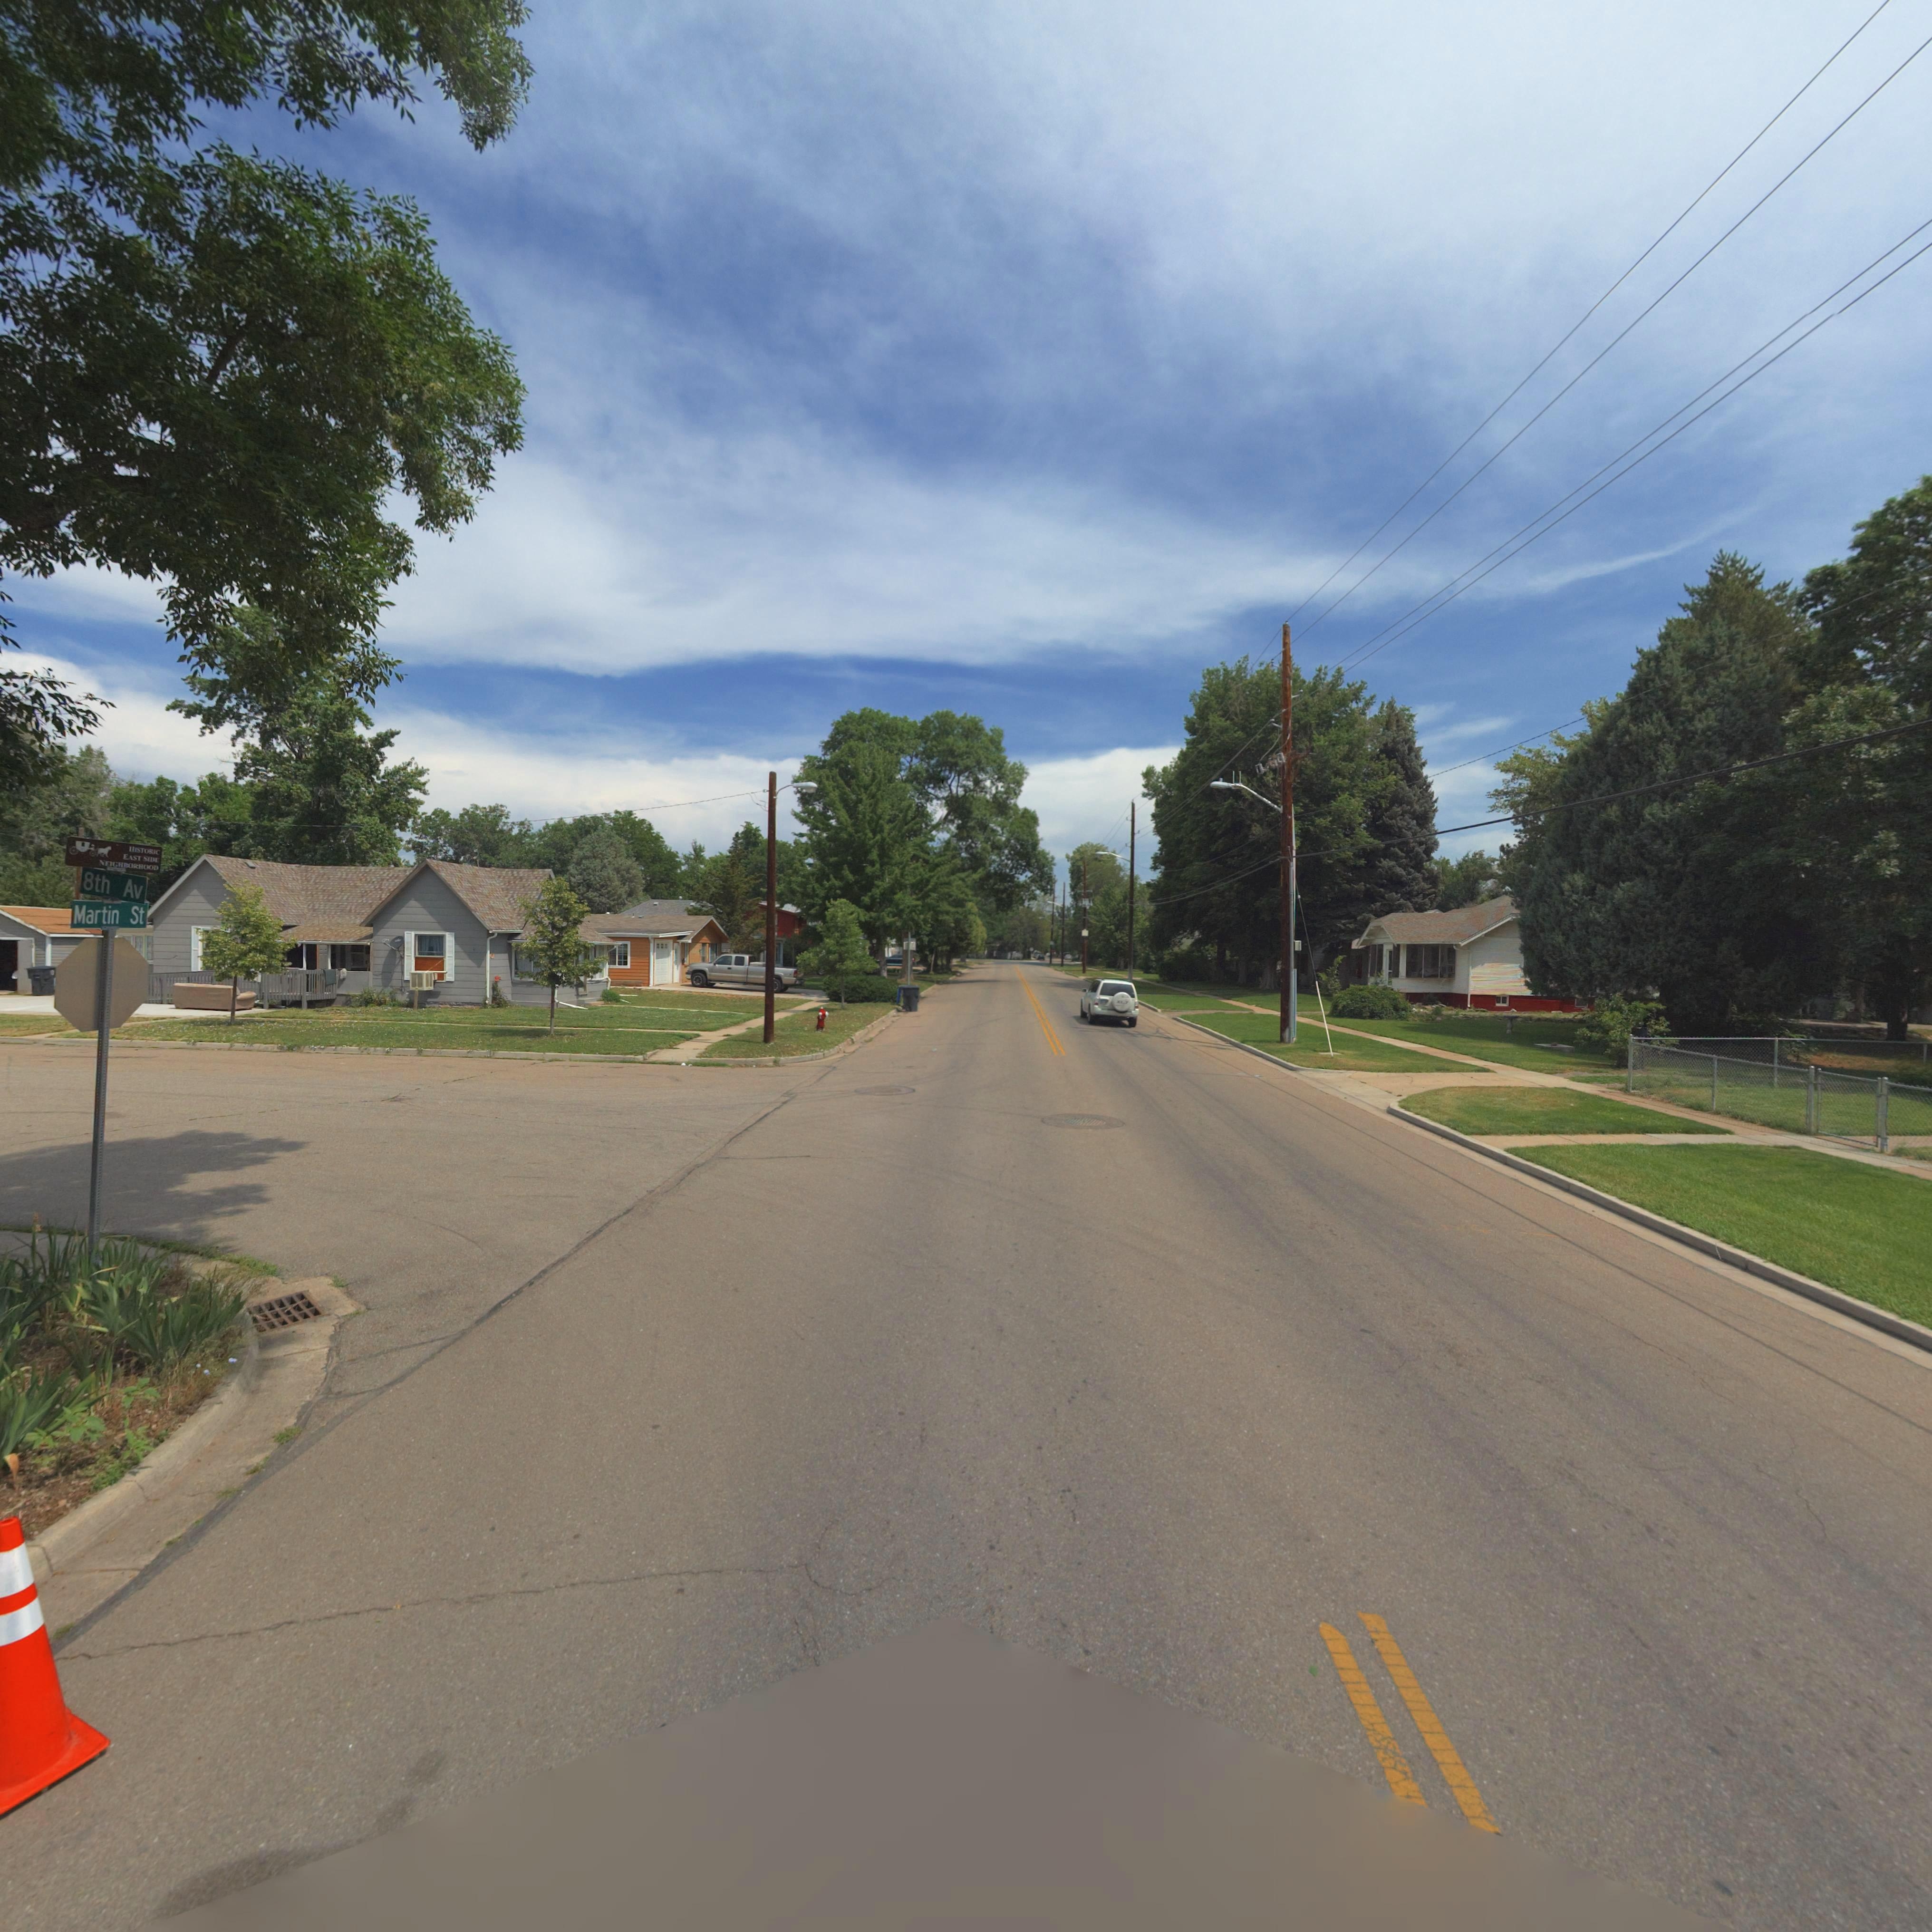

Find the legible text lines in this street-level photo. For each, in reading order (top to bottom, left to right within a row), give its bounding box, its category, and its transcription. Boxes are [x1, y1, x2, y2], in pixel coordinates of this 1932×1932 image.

[82, 871, 144, 899] StreetName: 8th Av
[73, 904, 145, 925] StreetName: Martin St